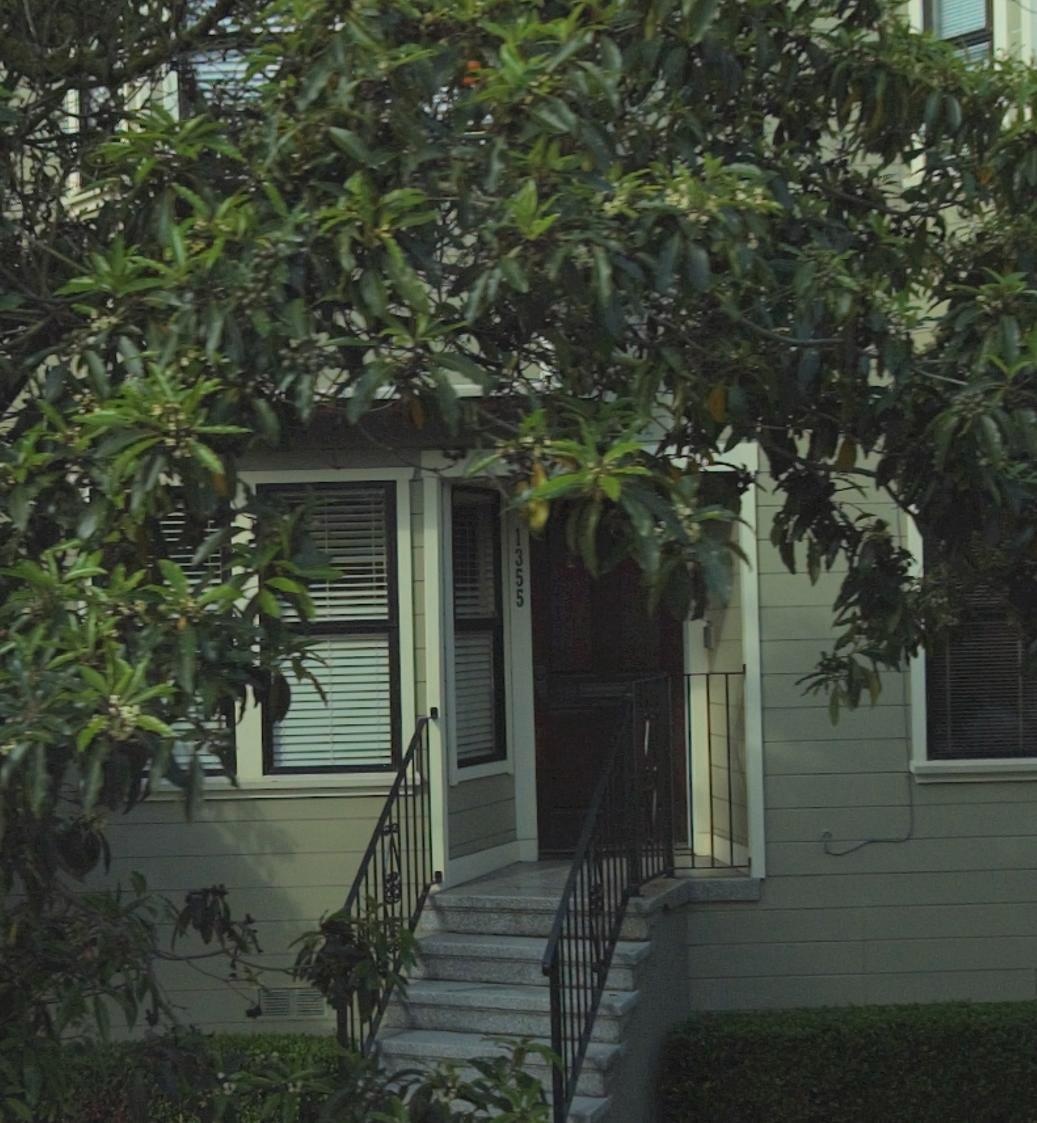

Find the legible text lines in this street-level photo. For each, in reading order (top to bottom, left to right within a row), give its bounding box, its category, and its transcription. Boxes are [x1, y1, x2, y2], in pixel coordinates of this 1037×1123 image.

[514, 525, 527, 611] StreetNumber: 1355